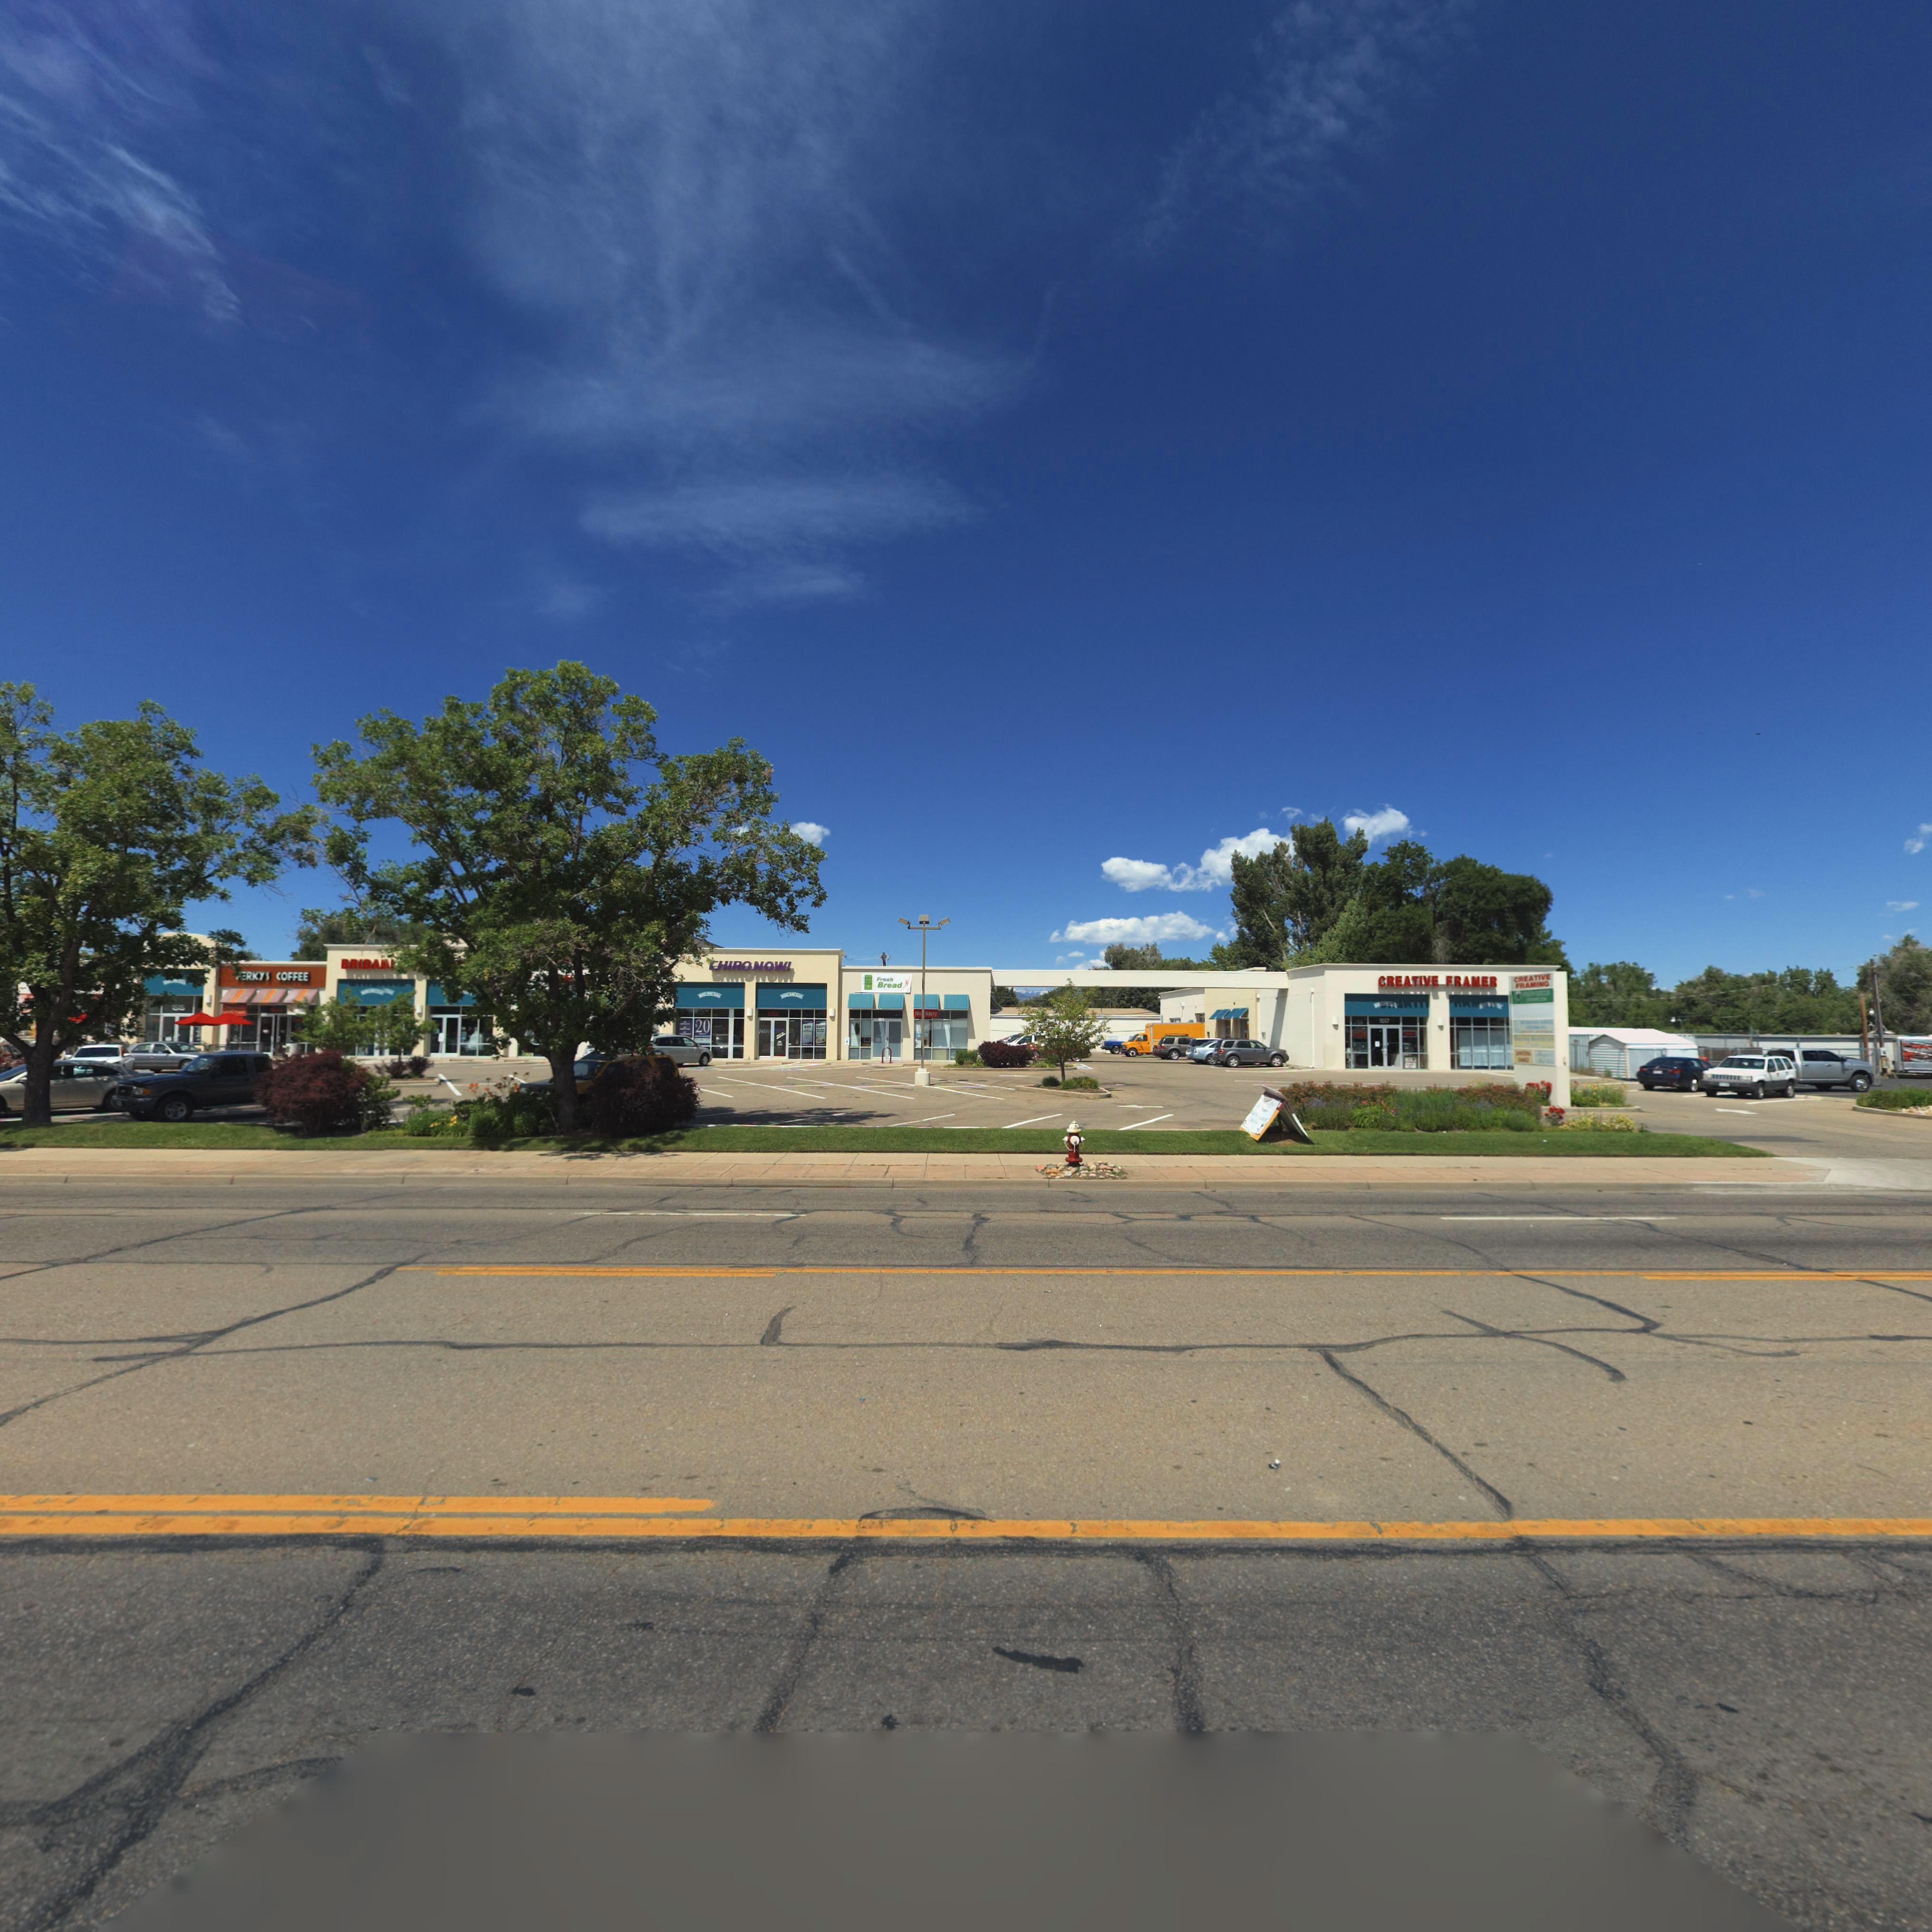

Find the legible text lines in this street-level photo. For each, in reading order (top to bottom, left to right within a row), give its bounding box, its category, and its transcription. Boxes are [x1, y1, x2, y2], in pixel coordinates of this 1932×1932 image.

[340, 958, 388, 969] BusinessName: BRIDA*
[708, 960, 792, 971] BusinessName: CHIRO NOW!
[235, 971, 309, 981] BusinessName: *ERKYS COFFEE
[876, 977, 893, 982] BusinessName: Fresh
[877, 982, 903, 988] BusinessName: Bread
[1377, 975, 1497, 987] BusinessName: CREATIVE FRAMER
[1515, 980, 1549, 989] BusinessName: FRAMING
[1513, 974, 1551, 983] BusinessName: CREATIVE
[171, 1004, 185, 1011] StreetNumber: 1515
[1379, 1018, 1390, 1023] StreetNumber: 1517
[758, 1028, 770, 1034] BusinessName: HIR